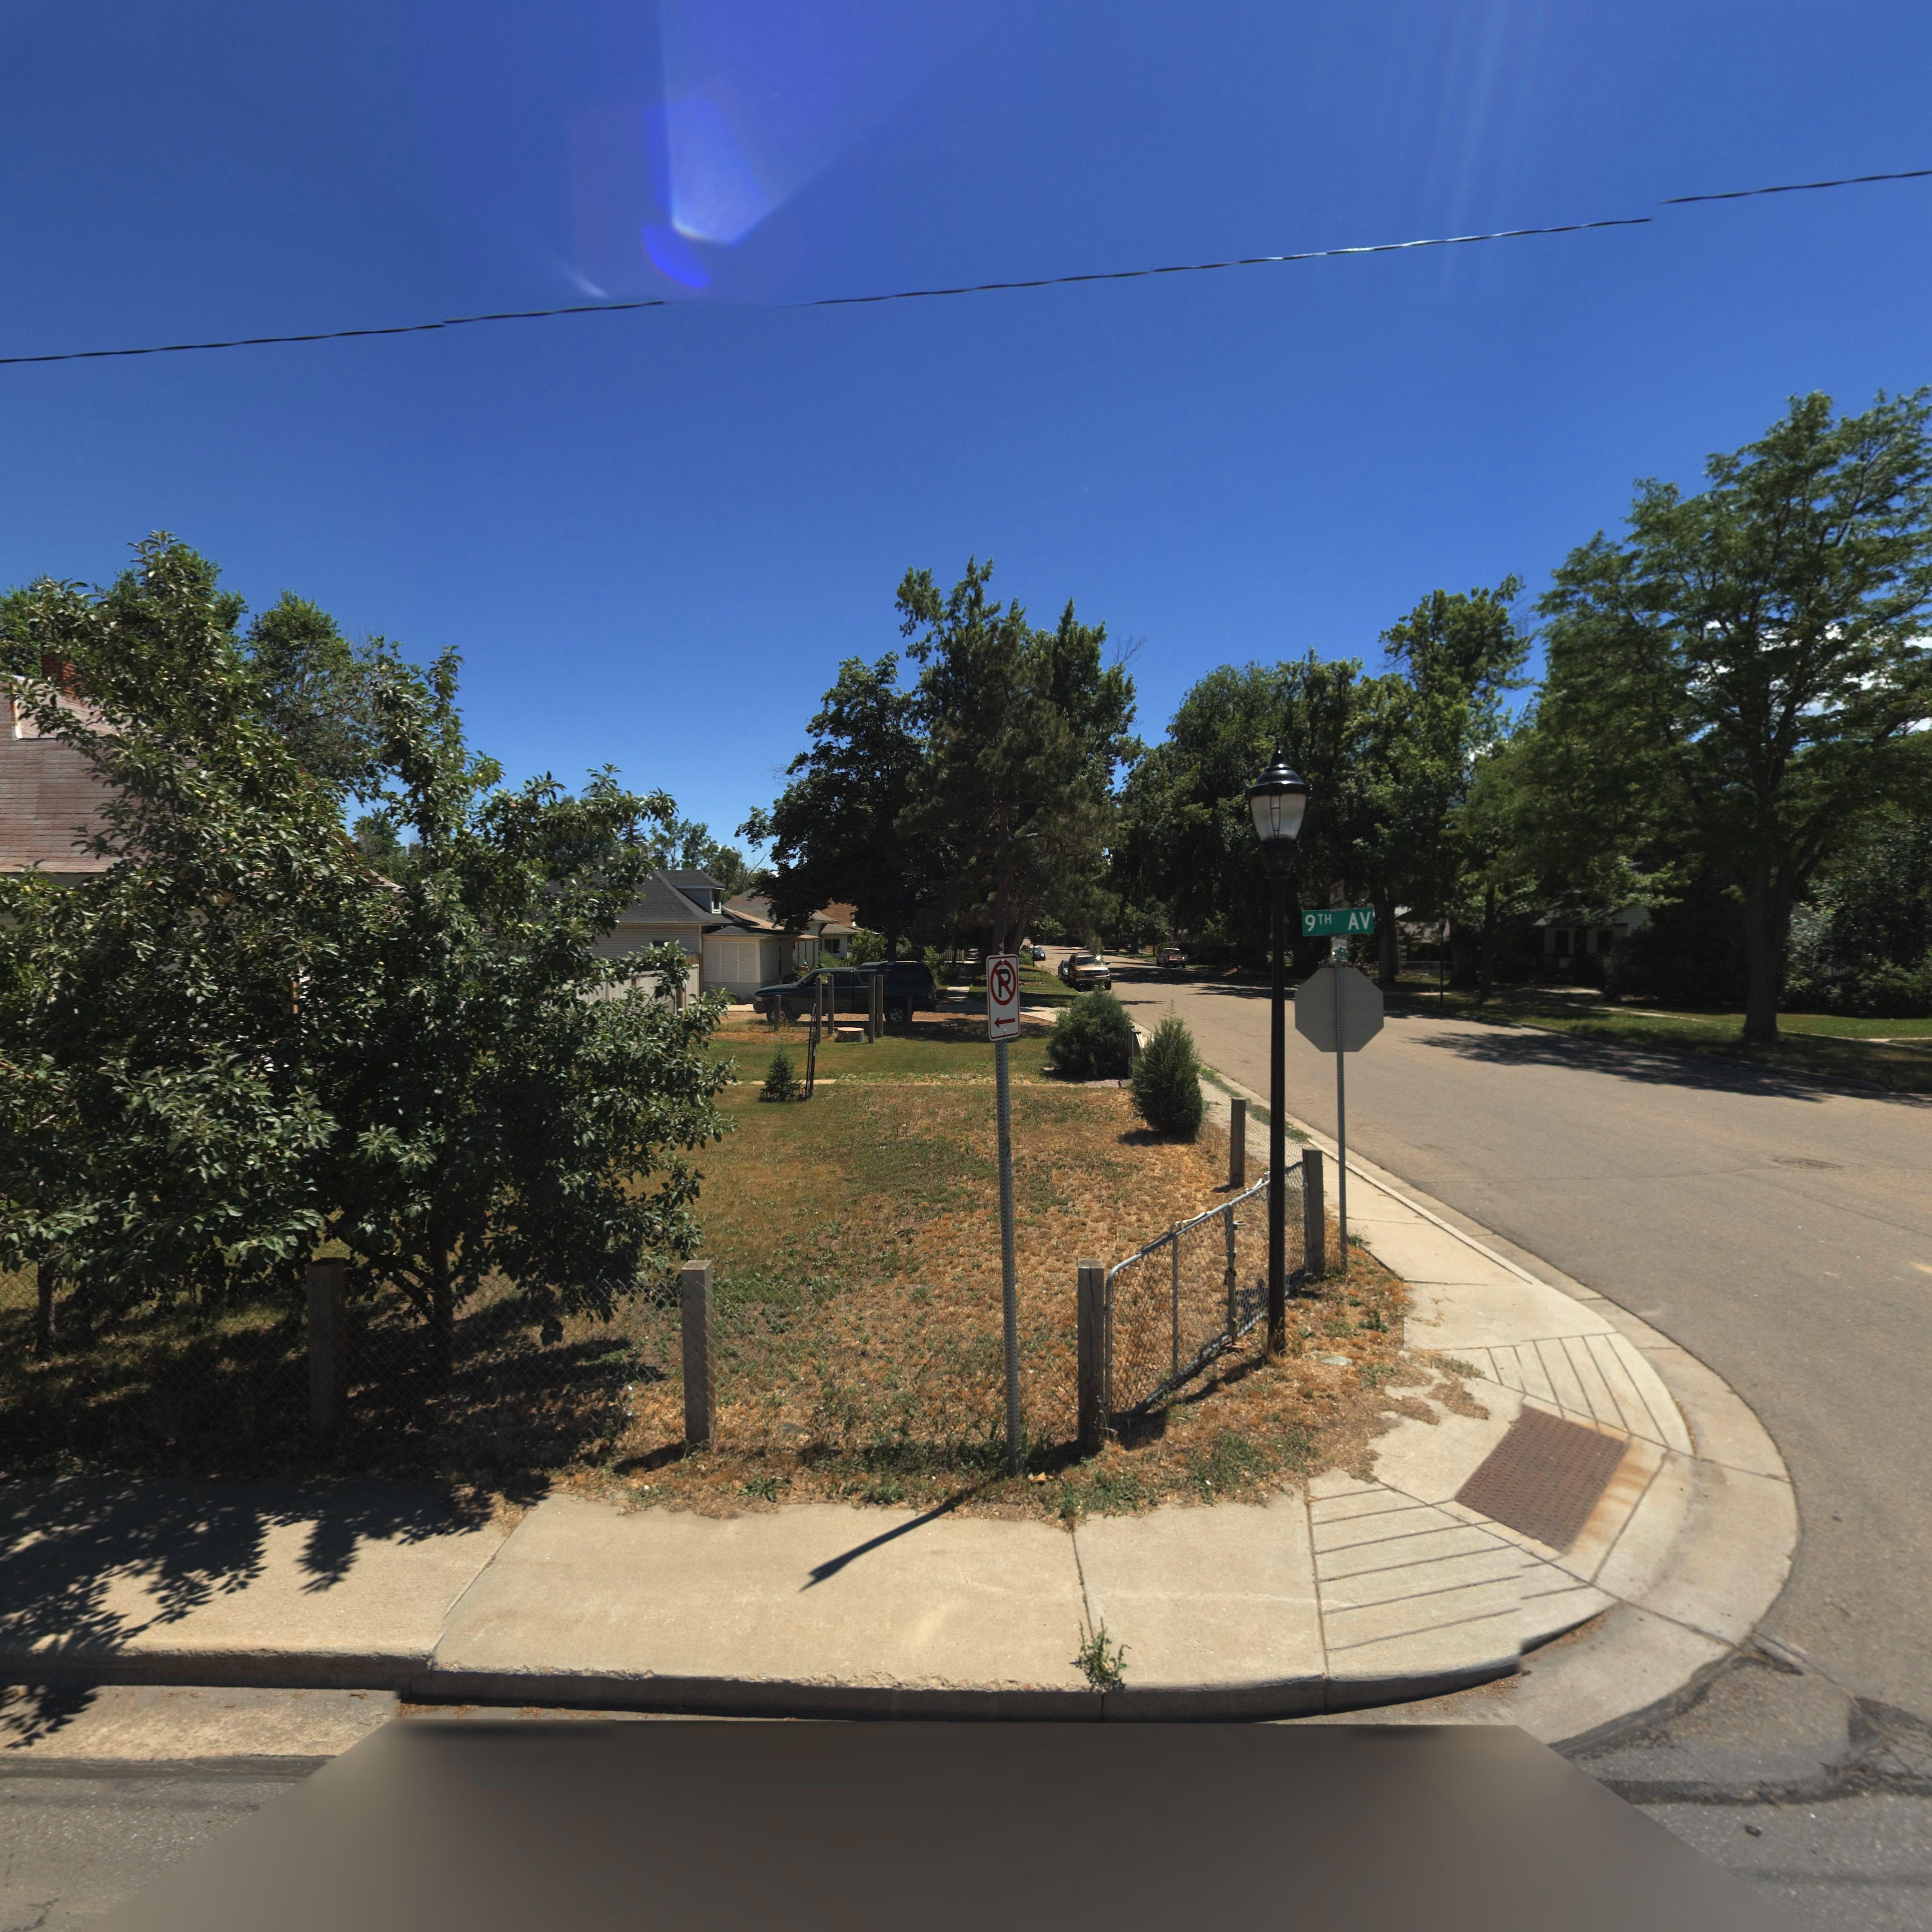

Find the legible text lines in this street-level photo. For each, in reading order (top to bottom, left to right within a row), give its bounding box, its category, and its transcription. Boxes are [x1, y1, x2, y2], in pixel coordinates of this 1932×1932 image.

[1304, 911, 1371, 932] StreetName: 9TH AV